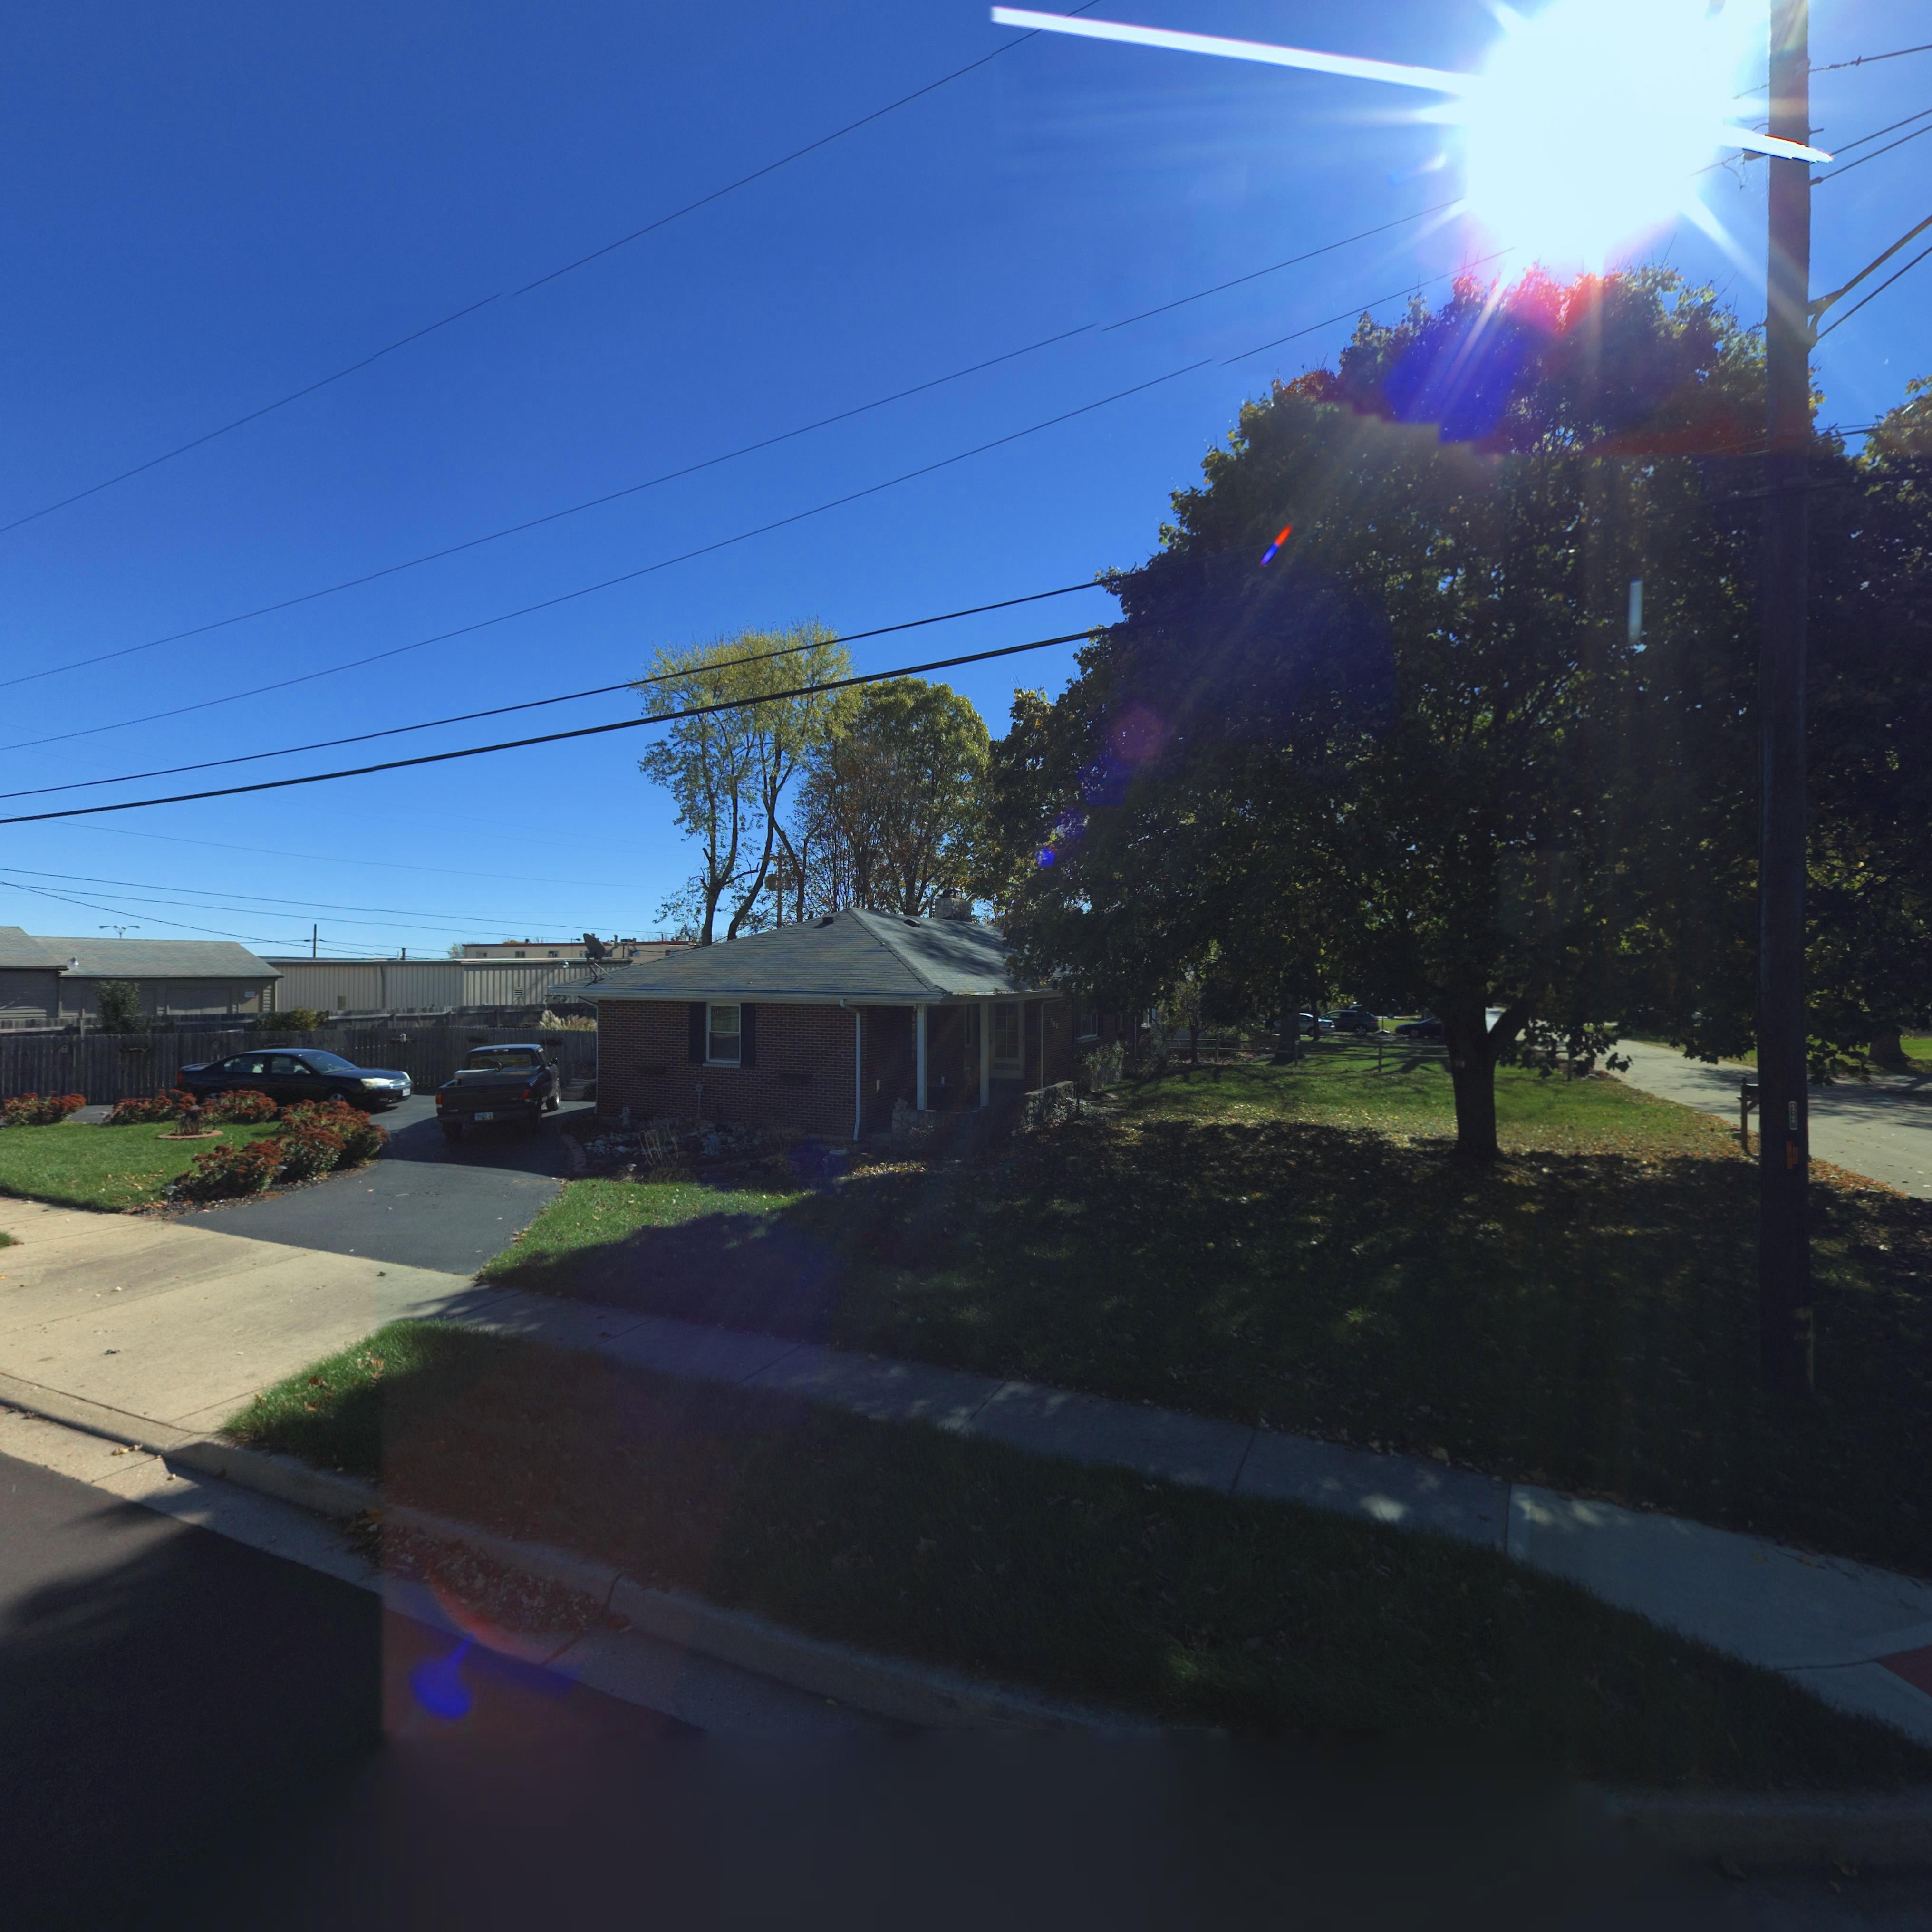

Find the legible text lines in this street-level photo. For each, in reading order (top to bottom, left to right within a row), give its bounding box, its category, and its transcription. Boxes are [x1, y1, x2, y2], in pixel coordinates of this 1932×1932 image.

[1050, 1018, 1059, 1030] StreetNumber: 700